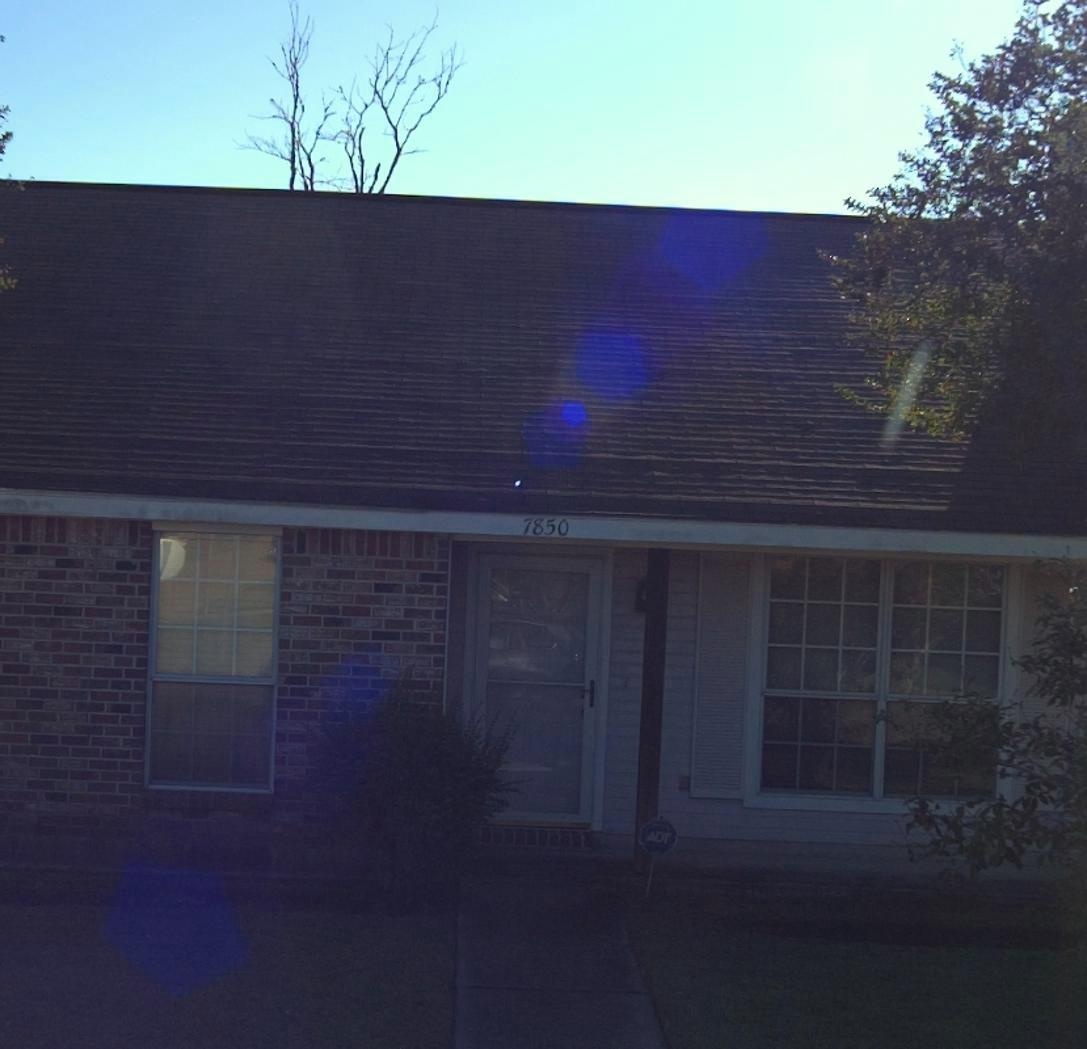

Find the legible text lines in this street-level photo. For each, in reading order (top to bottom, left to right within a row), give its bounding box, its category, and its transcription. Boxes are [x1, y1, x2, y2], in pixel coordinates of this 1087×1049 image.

[522, 517, 570, 536] StreetNumber: 7850
[644, 829, 672, 846] None: ADT